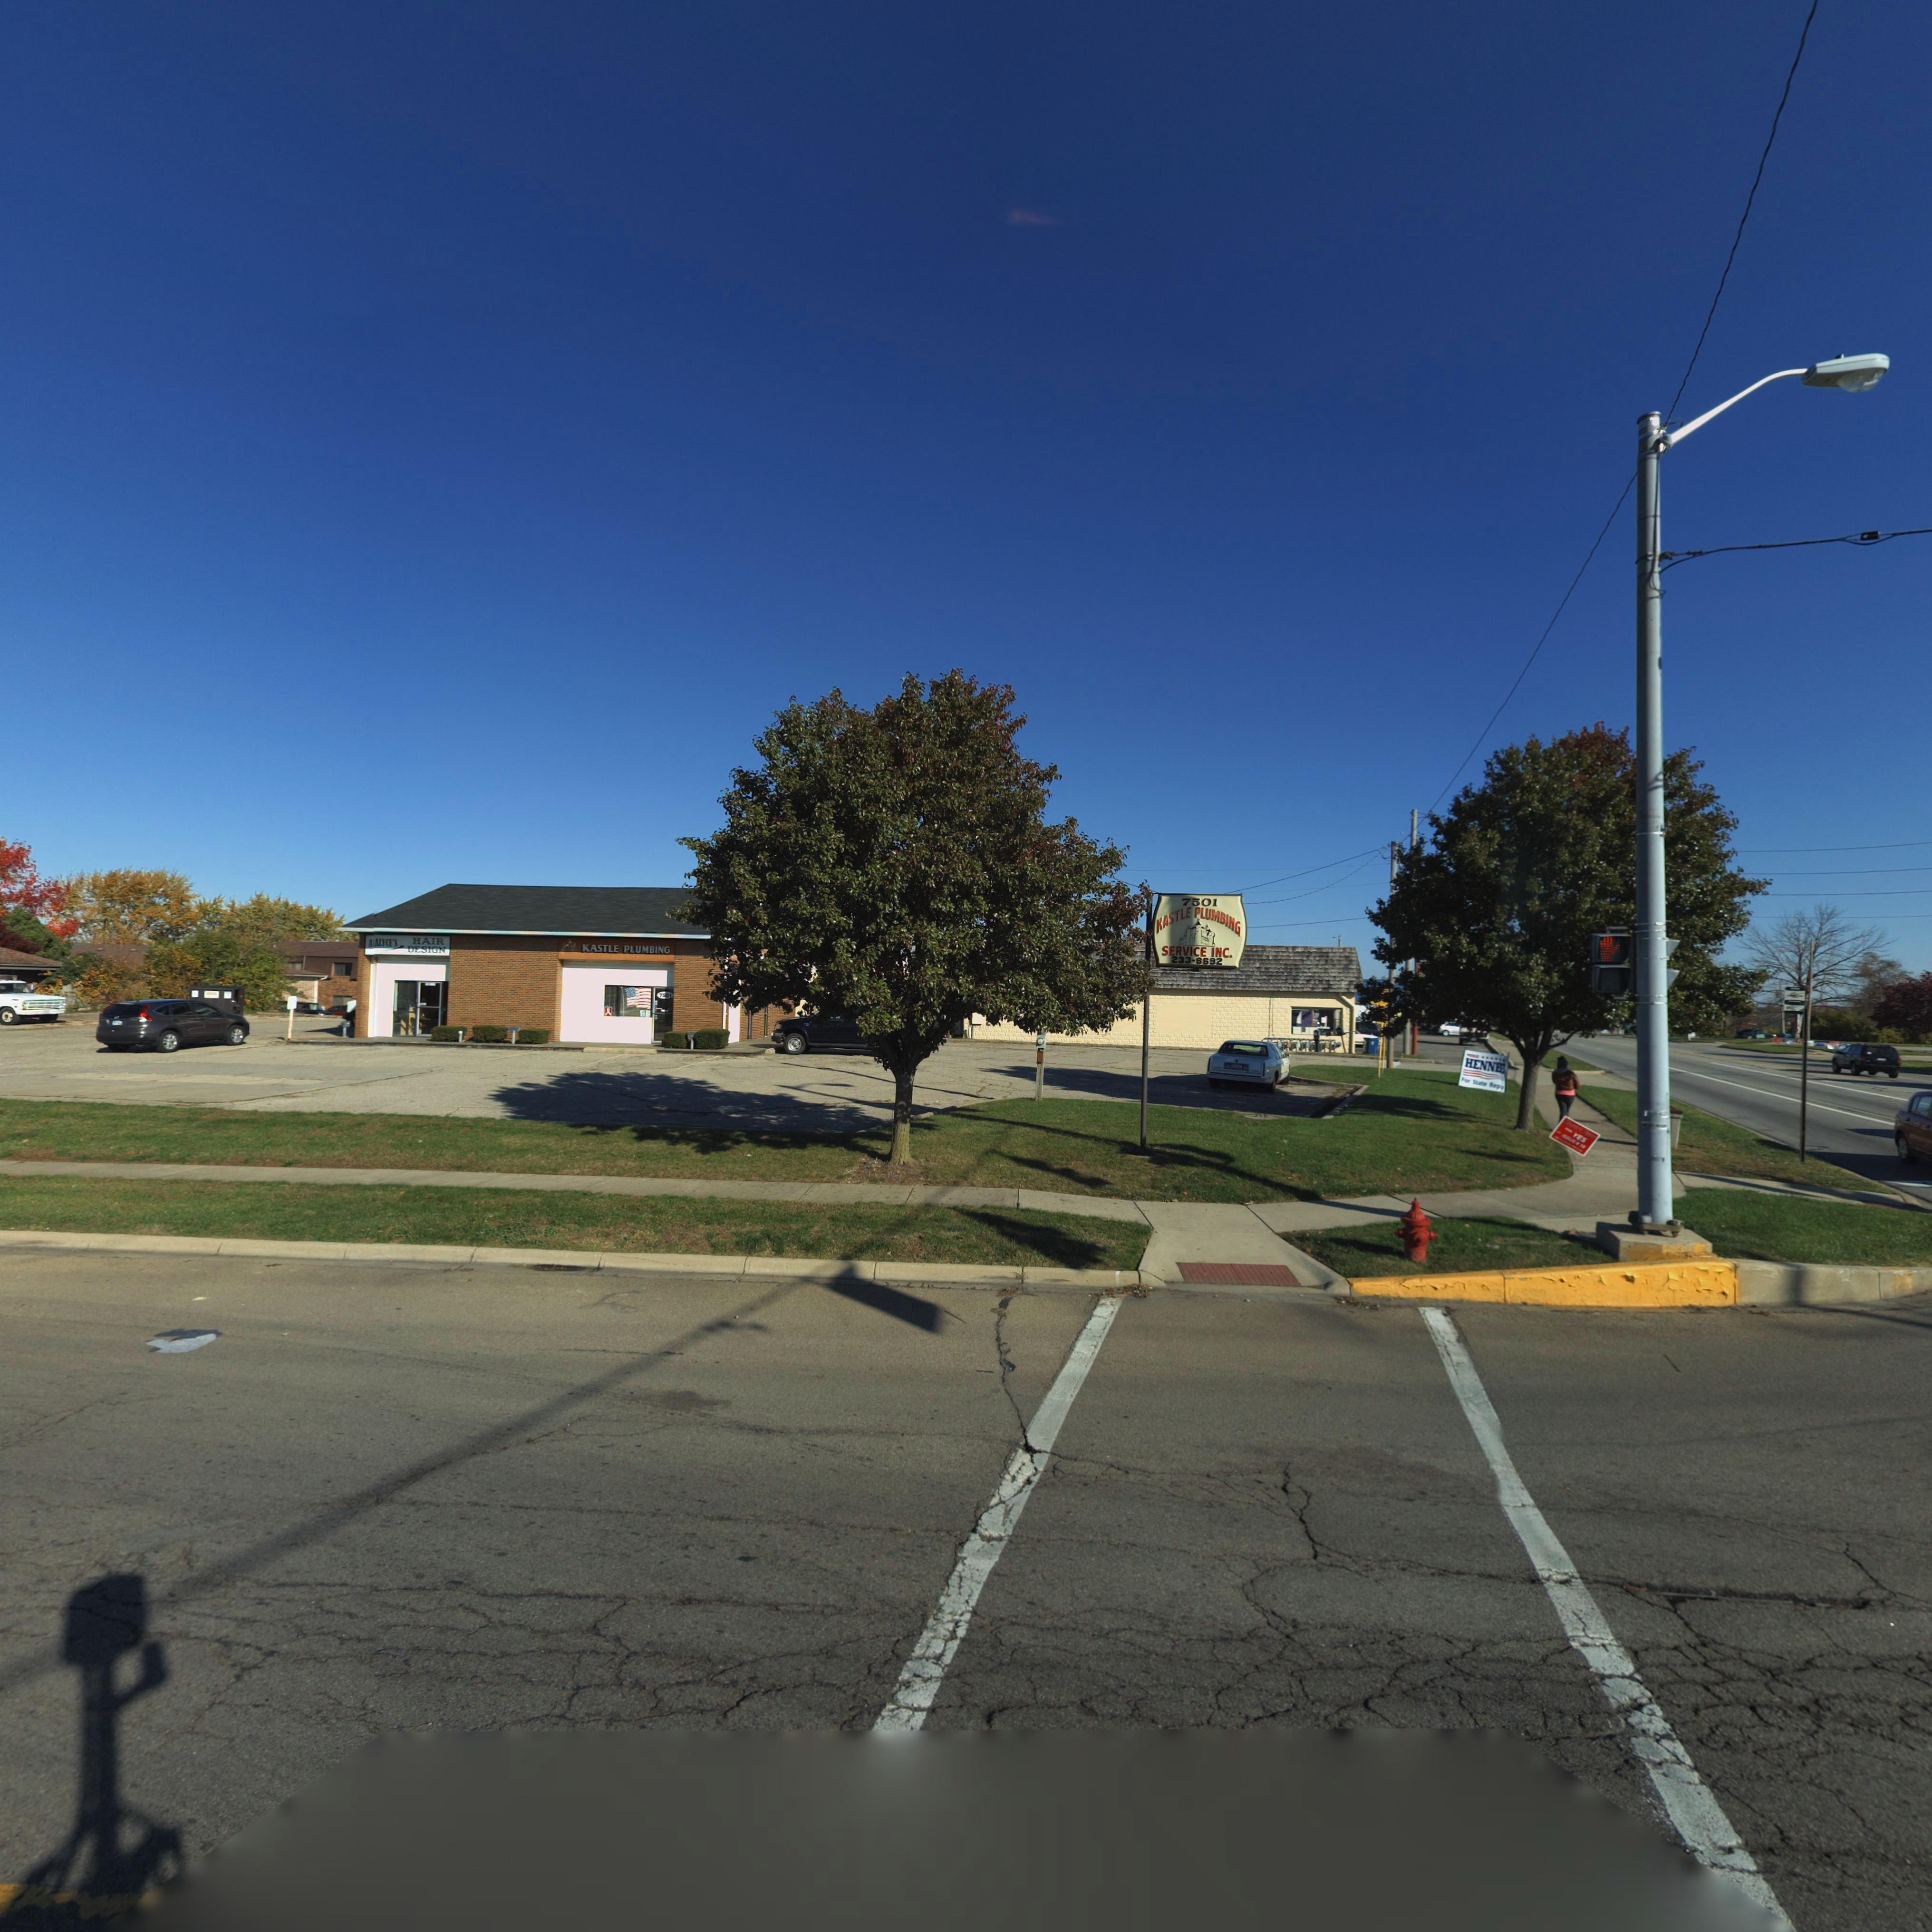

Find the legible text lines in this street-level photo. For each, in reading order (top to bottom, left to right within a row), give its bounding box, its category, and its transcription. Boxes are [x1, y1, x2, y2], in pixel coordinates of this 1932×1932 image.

[1181, 897, 1218, 907] StreetNumber: 7501
[1156, 906, 1242, 937] BusinessName: KASTLE PLUMBING
[374, 938, 398, 947] BusinessName: ALYCE'S
[412, 937, 445, 946] BusinessName: HAIR
[407, 945, 447, 954] BusinessName: DESIGN
[581, 944, 671, 955] BusinessName: KASTLE PLUMBING
[1161, 945, 1234, 959] BusinessName: SERVICE INC.
[658, 993, 672, 998] StreetNumber: 7*01